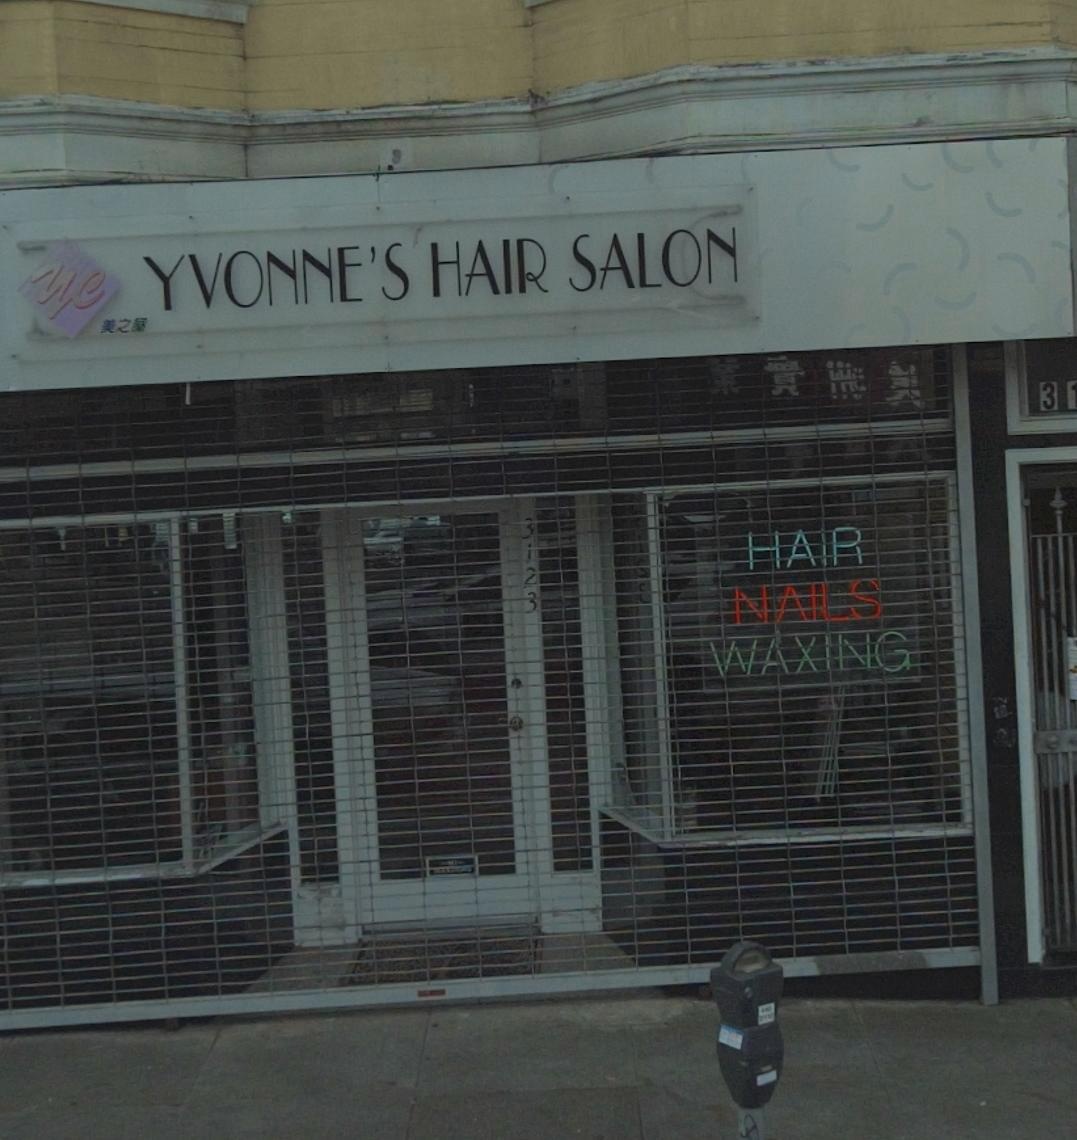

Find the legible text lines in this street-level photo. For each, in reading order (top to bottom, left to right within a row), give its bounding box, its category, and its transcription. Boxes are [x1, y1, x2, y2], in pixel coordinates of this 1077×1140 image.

[29, 257, 107, 321] None: ye
[141, 225, 738, 313] BusinessName: YVONNE'S HAIR SALON
[520, 515, 539, 617] StreetNumber: 3123
[745, 525, 864, 572] None: HA*R
[732, 578, 883, 627] None: NAILS
[707, 630, 911, 679] None: WAXING